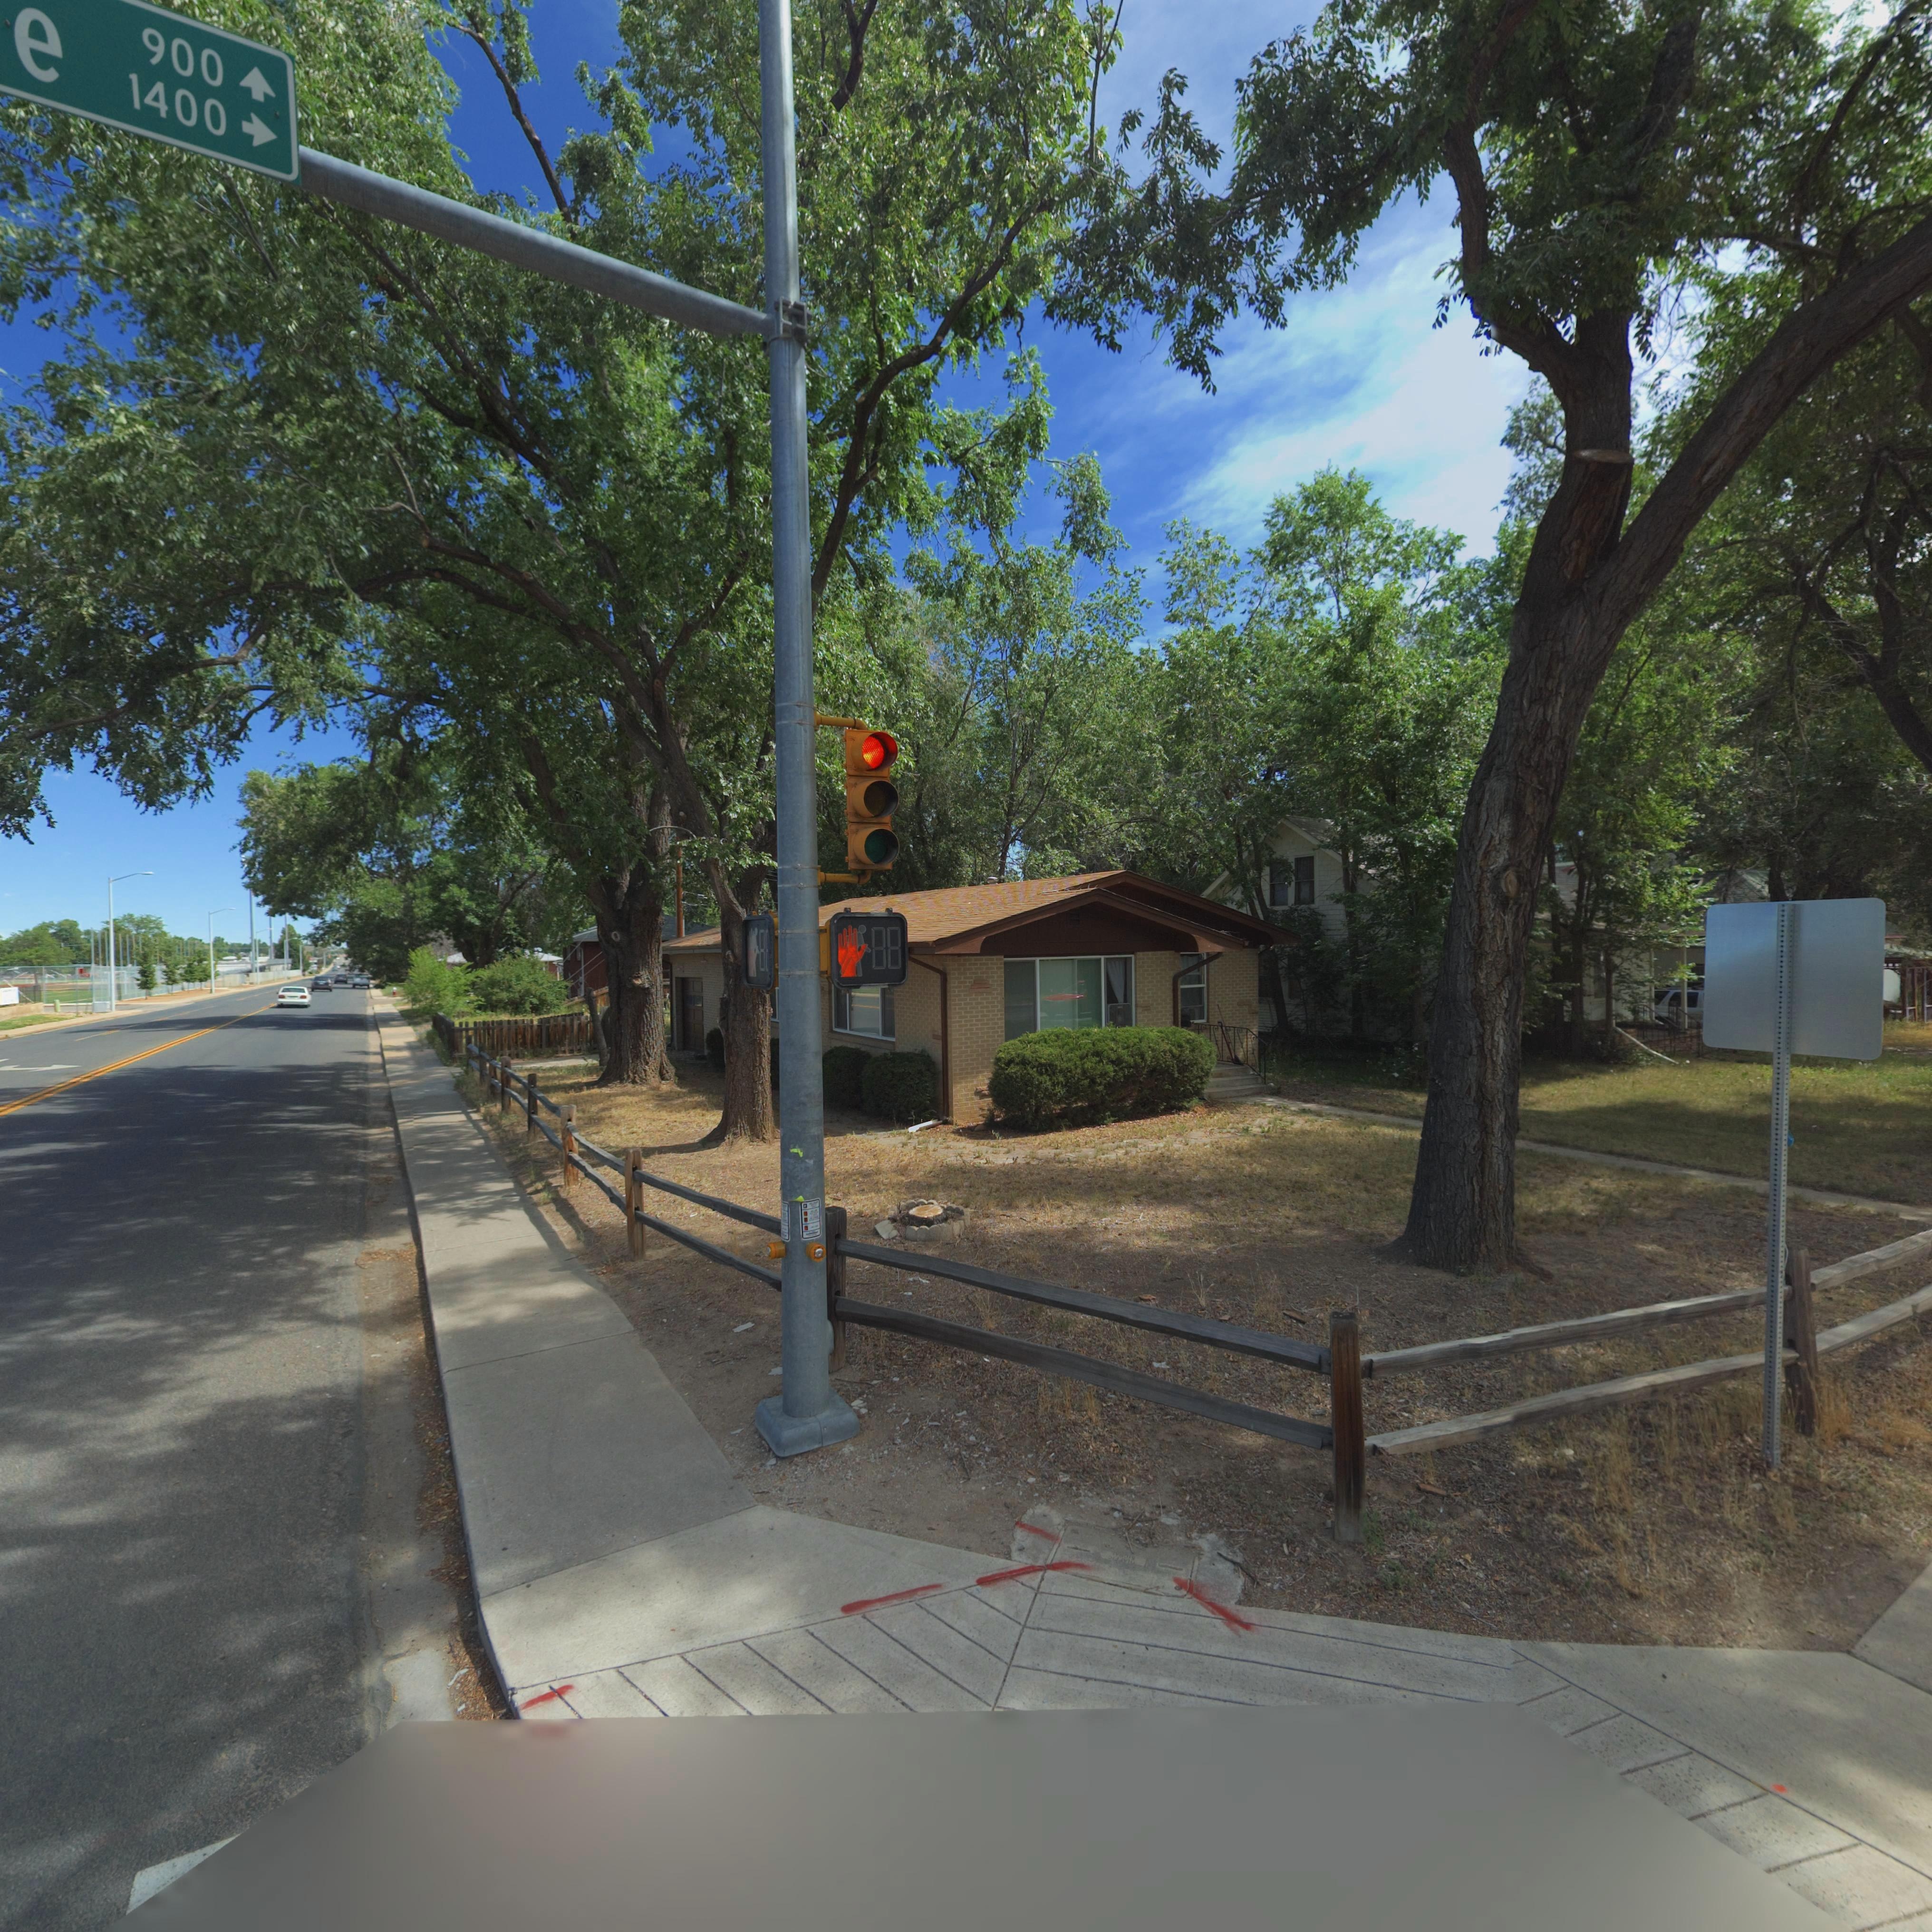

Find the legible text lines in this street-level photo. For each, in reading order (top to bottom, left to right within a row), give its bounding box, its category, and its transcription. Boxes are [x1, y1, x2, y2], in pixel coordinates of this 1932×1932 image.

[13, 5, 64, 85] StreetName: e
[141, 24, 224, 89] StreetNumber: 900
[127, 71, 279, 147] StreetNumberRange: 1400->